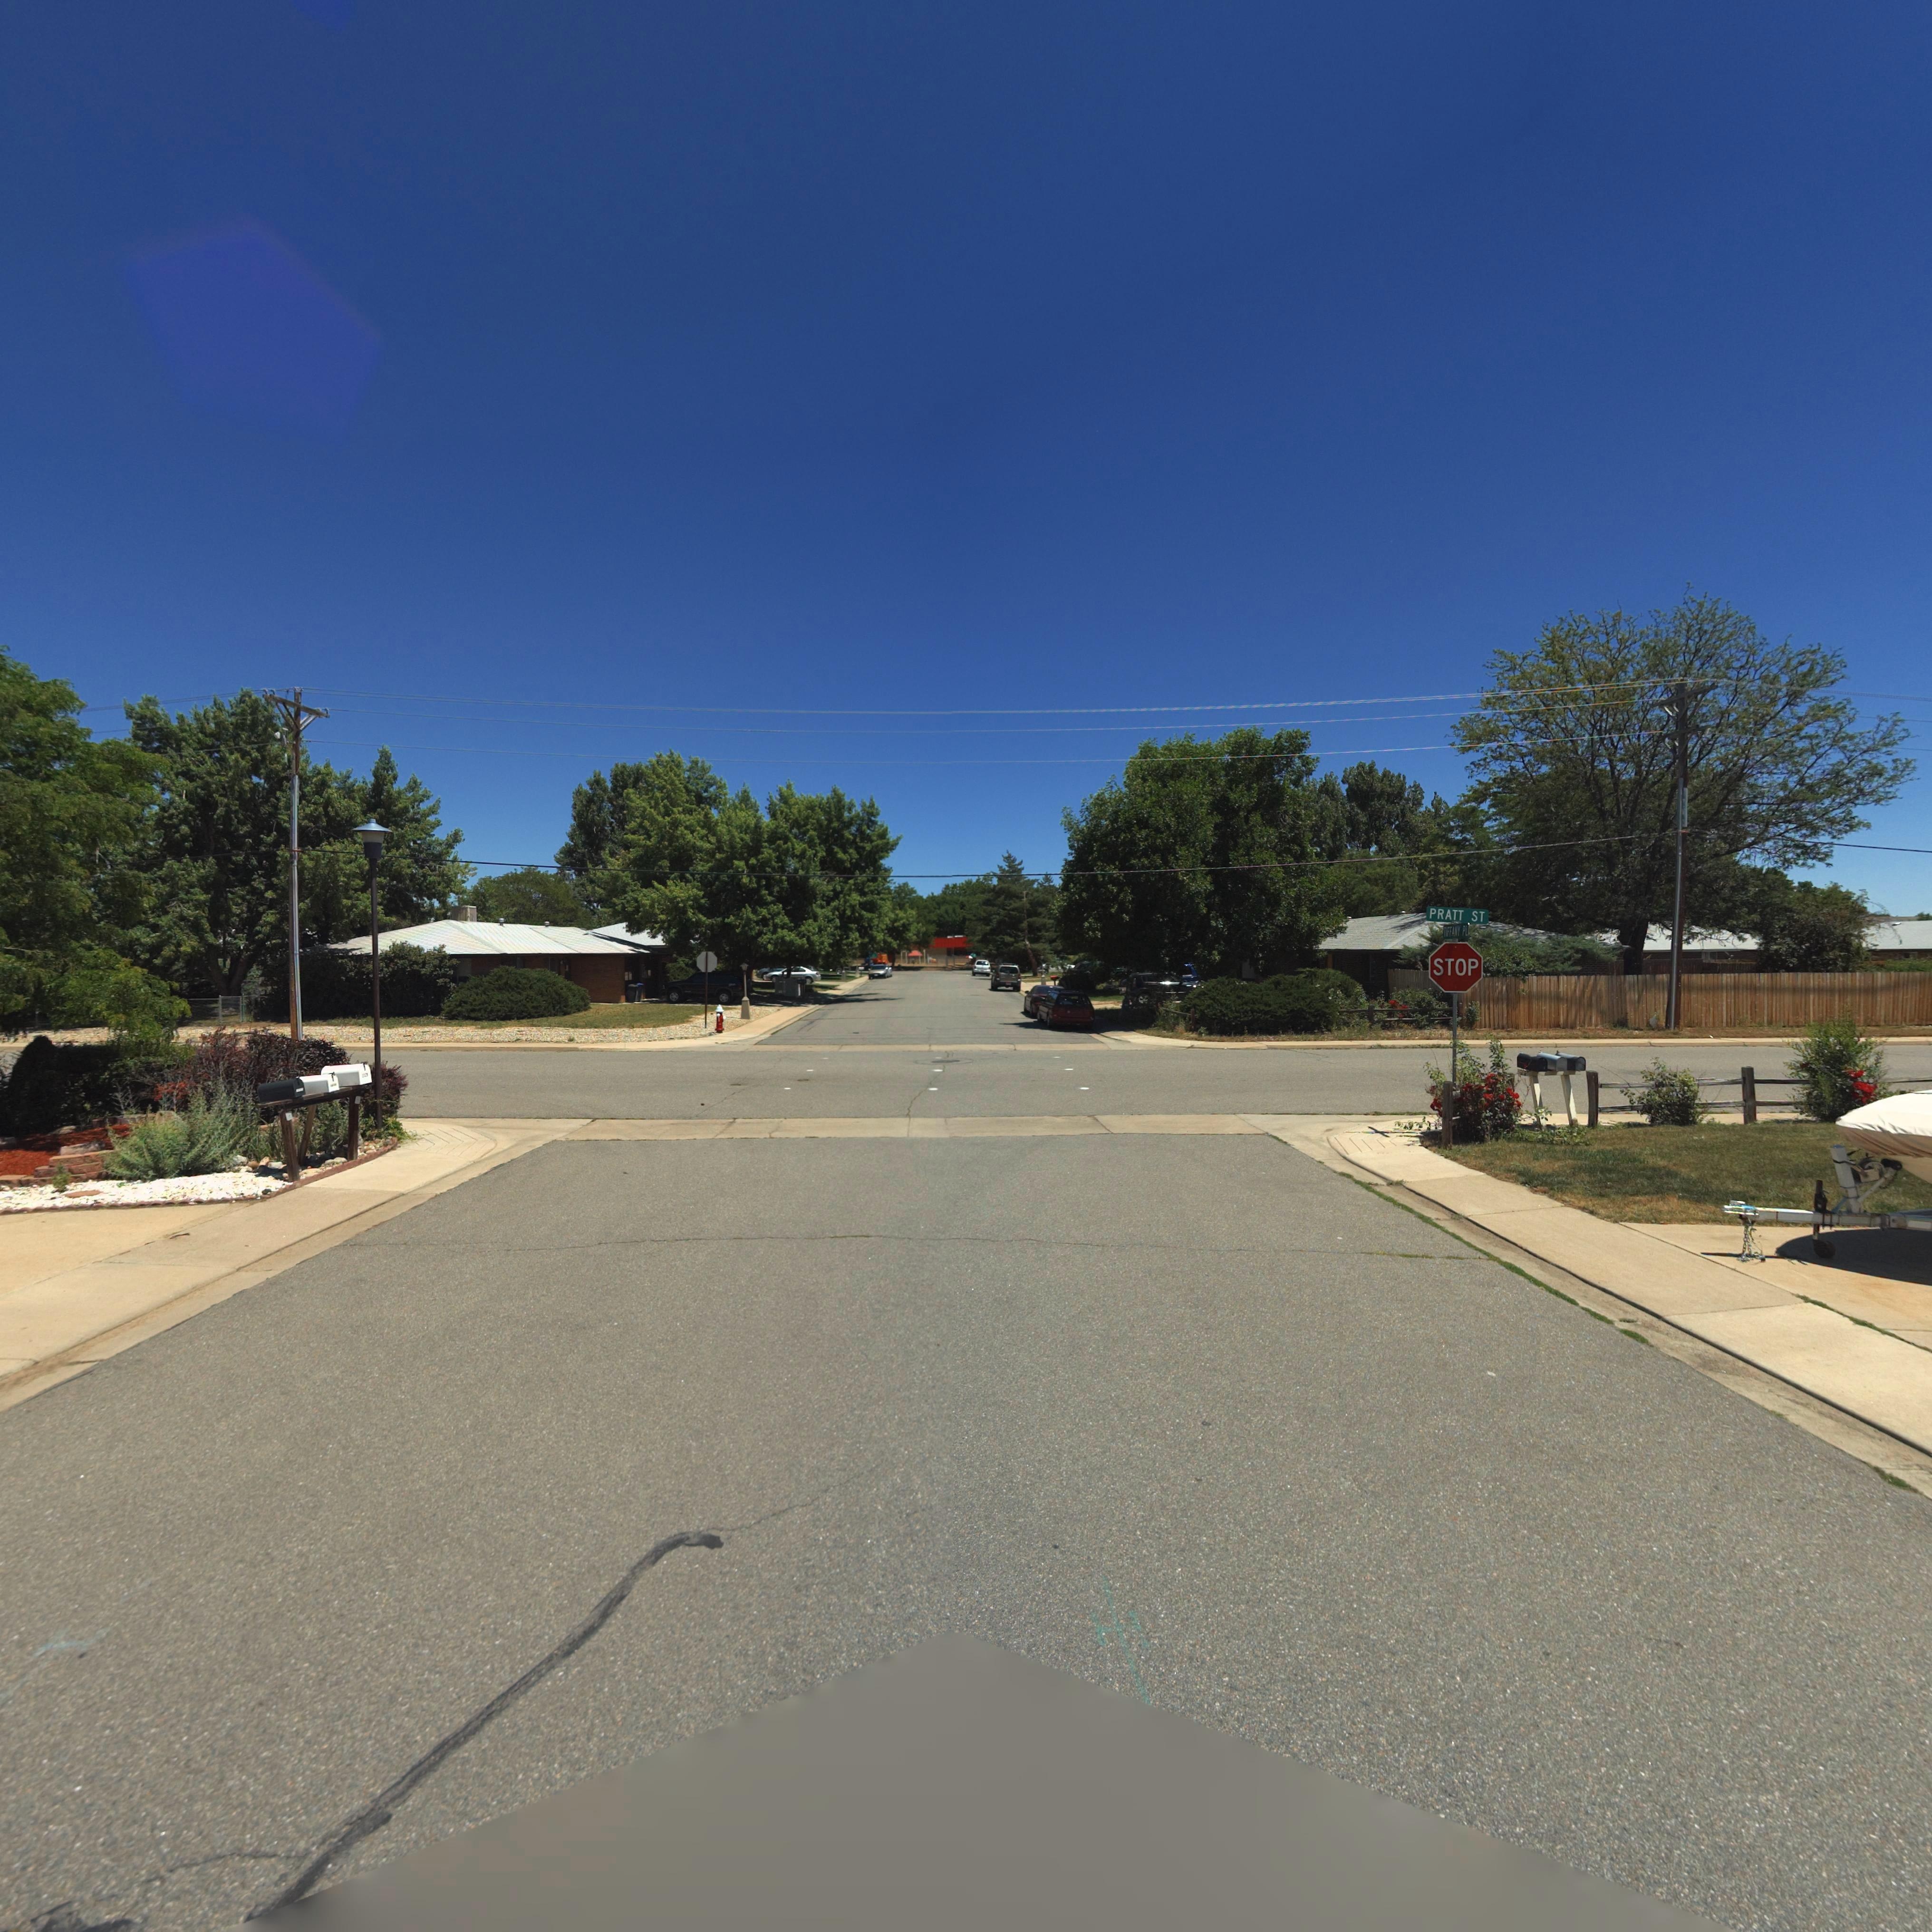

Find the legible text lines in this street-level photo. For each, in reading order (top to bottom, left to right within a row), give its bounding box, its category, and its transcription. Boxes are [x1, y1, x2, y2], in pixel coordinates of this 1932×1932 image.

[1429, 908, 1485, 923] StreetName: PRATT ST
[1443, 925, 1468, 937] StreetName: TIFFANY PL
[361, 1072, 368, 1078] StreetNumber: 2***